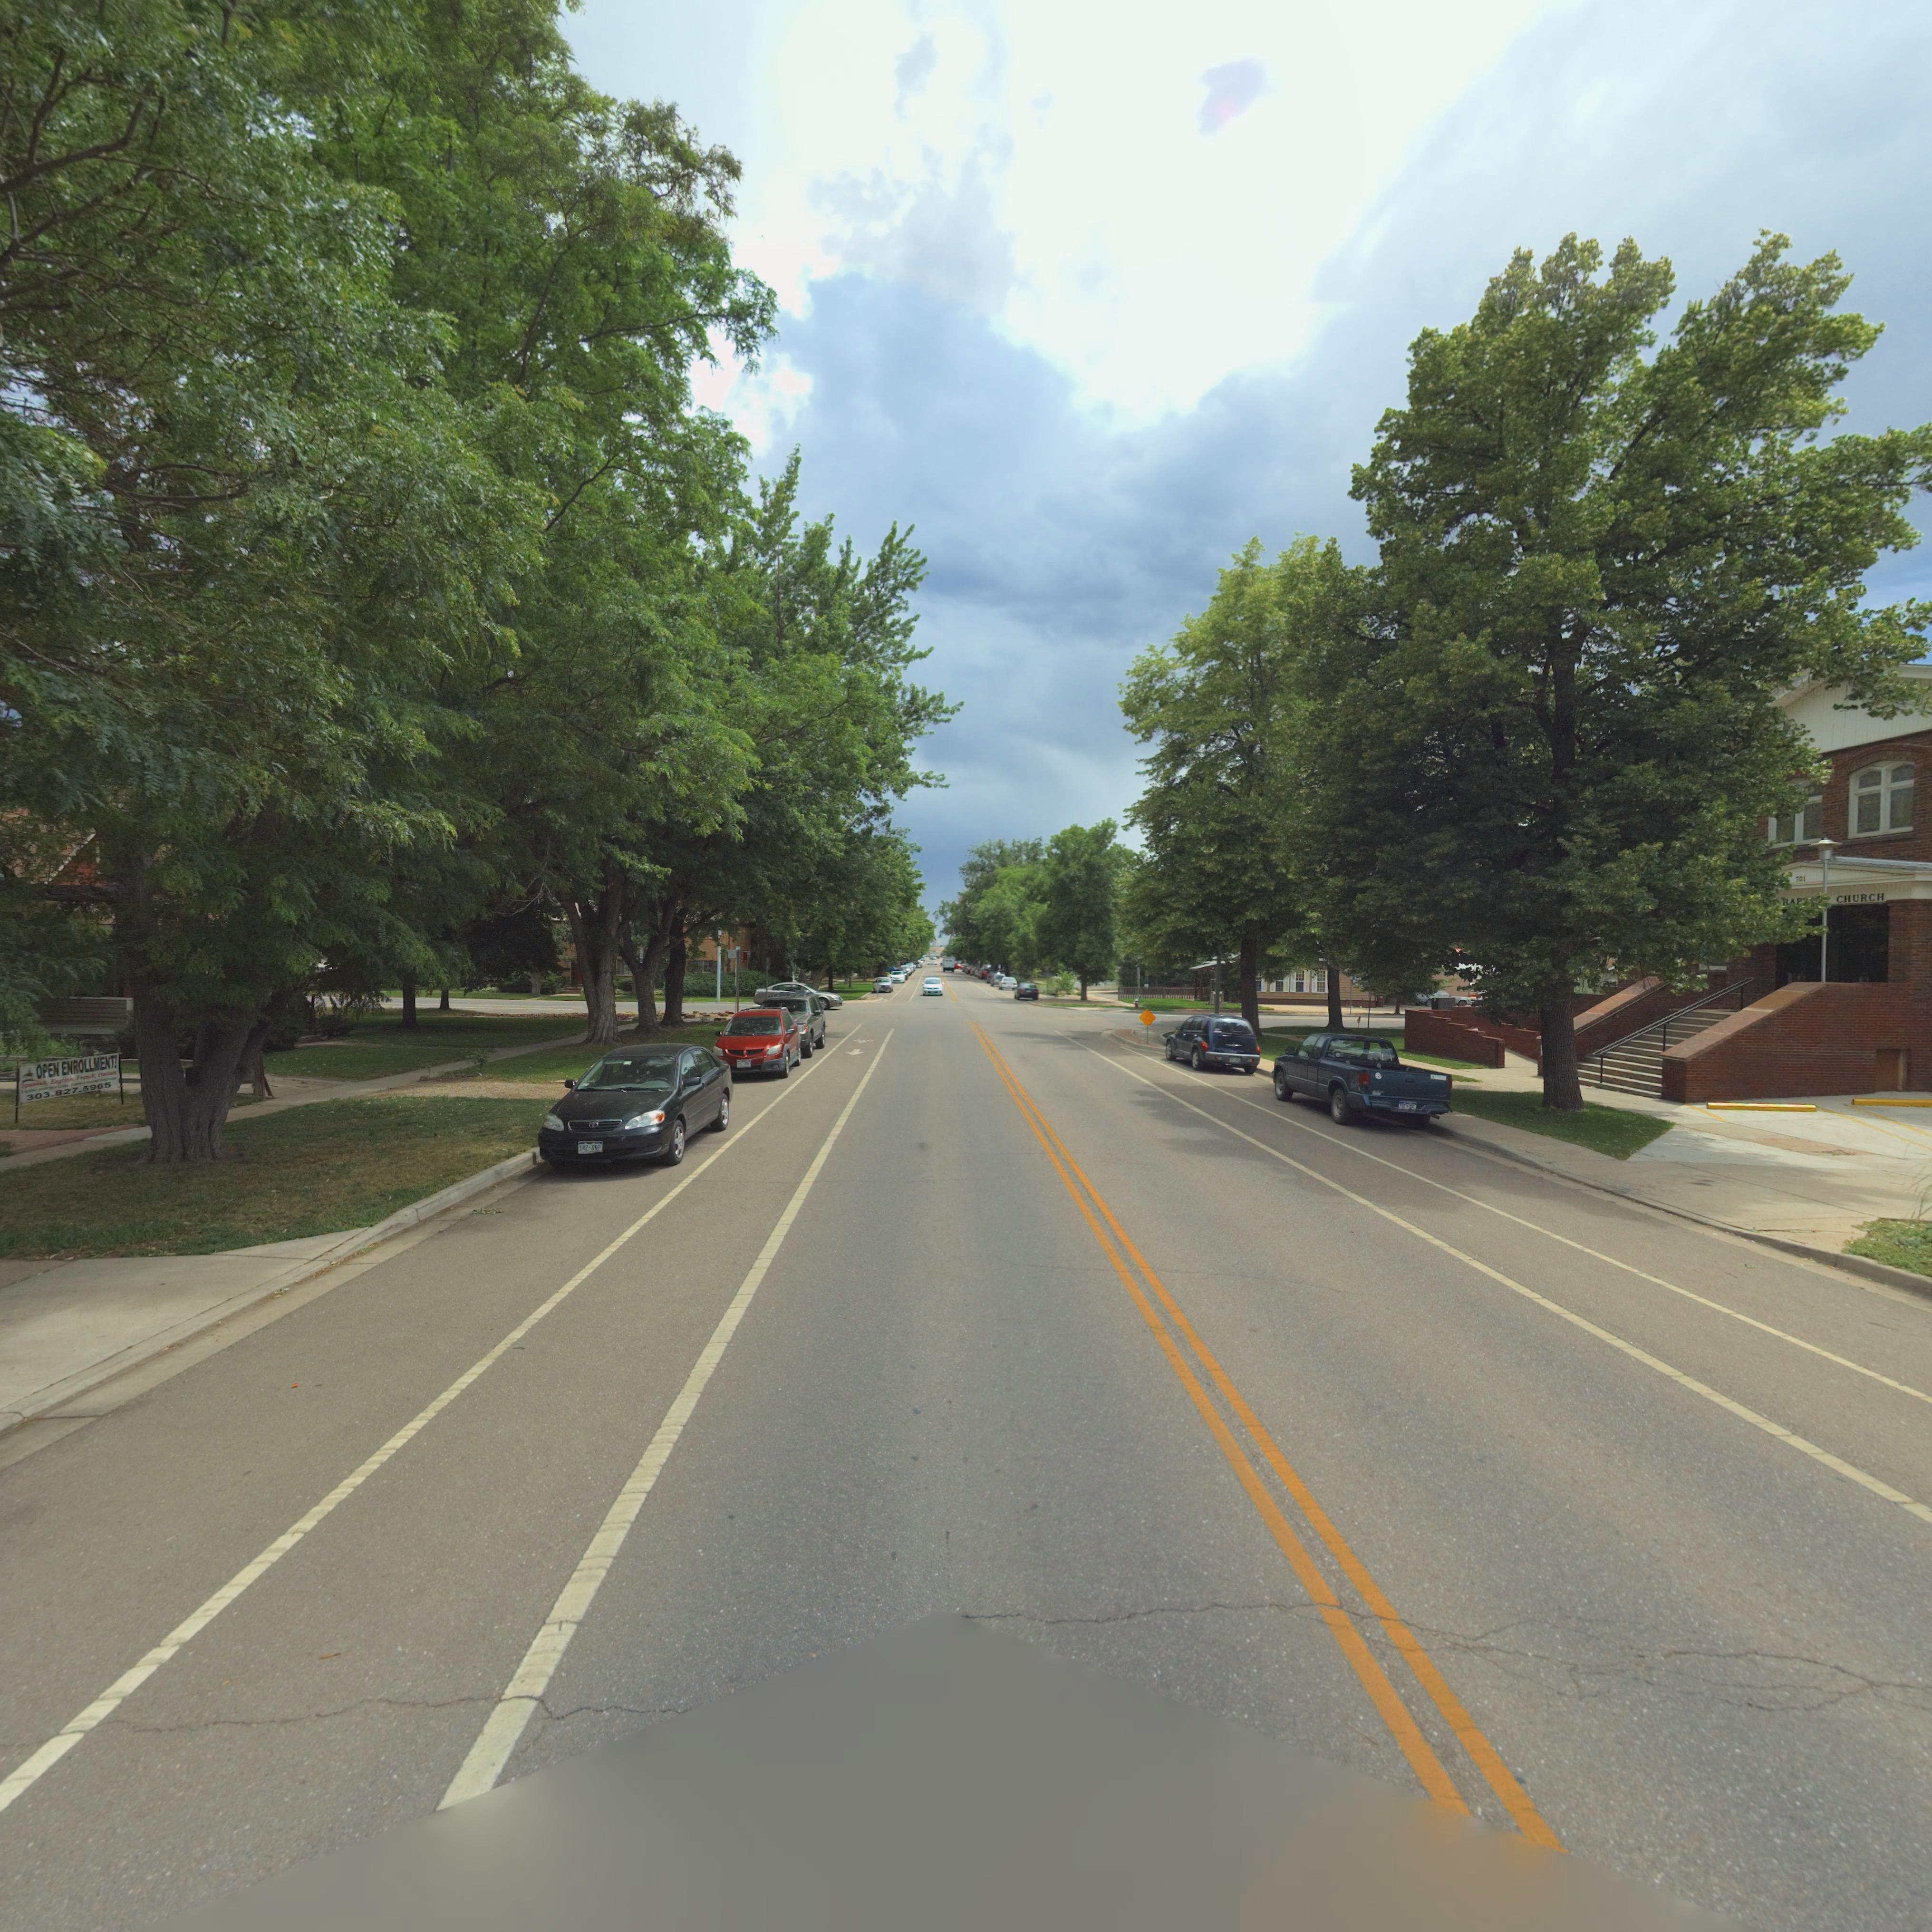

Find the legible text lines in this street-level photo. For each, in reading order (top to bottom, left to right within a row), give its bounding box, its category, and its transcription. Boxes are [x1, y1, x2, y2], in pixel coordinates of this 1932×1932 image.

[1795, 875, 1806, 882] StreetNumber: 701
[1782, 892, 1884, 906] BusinessName: BAP**** CHURCH